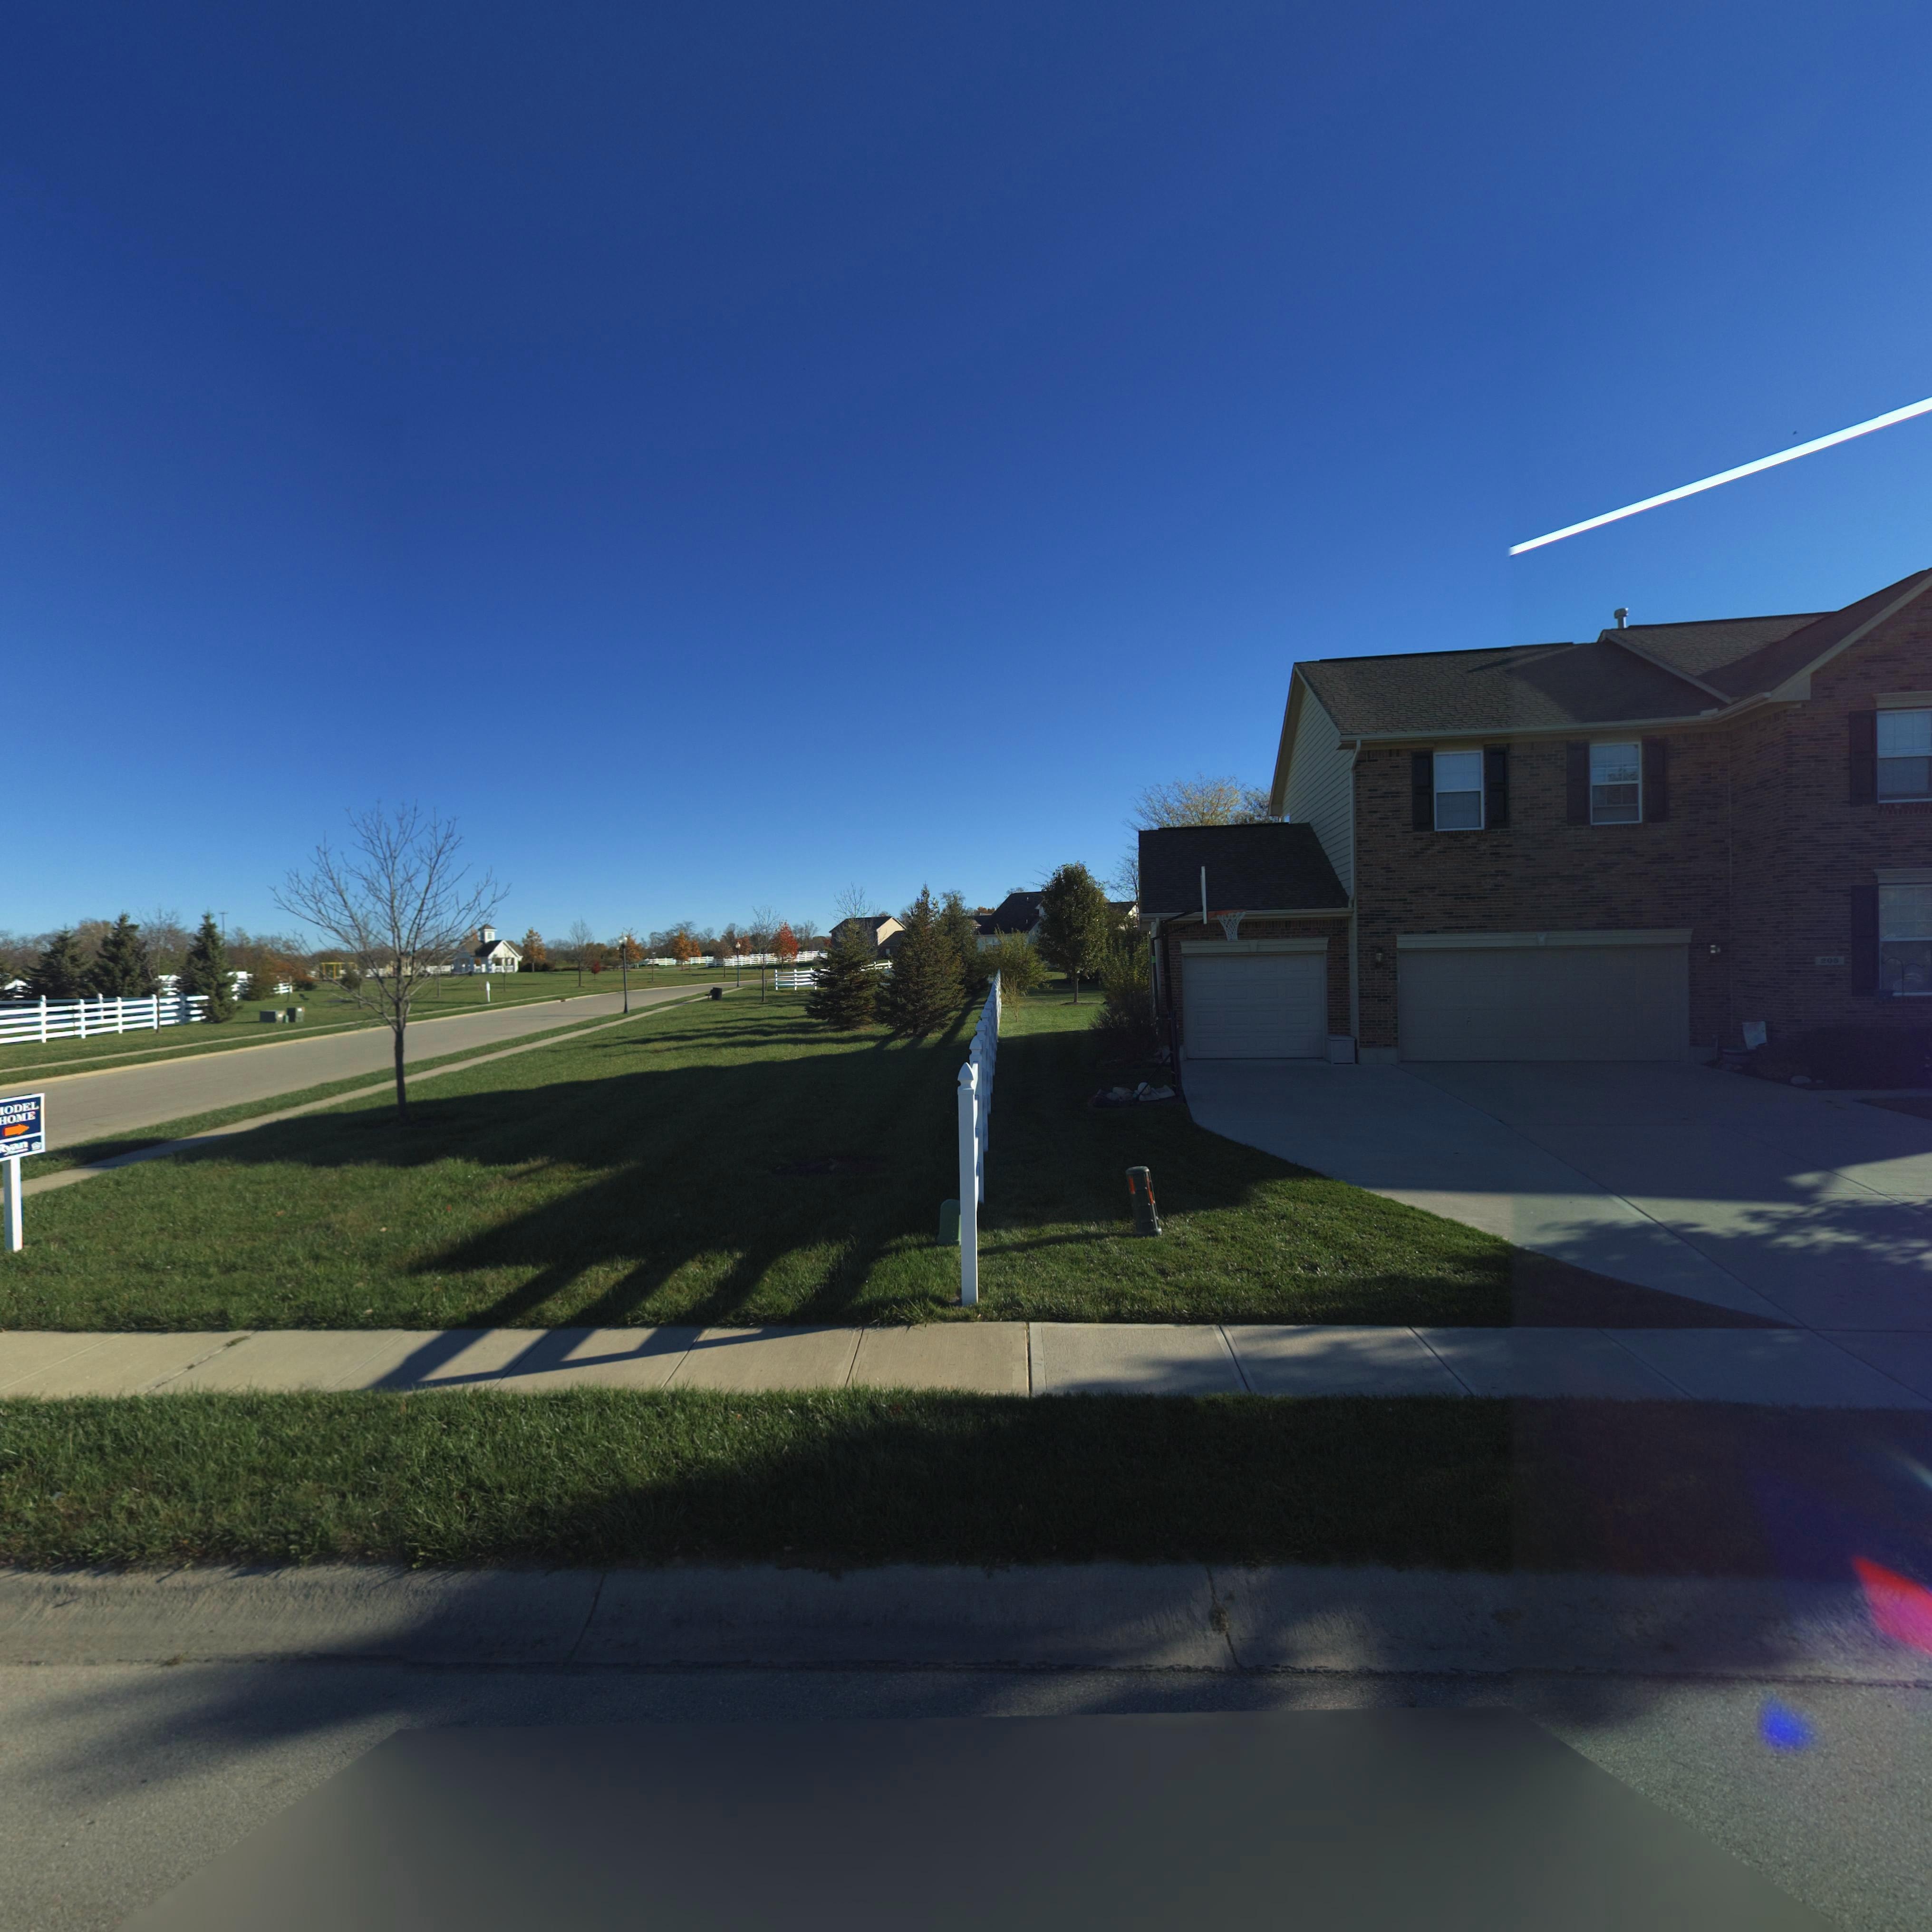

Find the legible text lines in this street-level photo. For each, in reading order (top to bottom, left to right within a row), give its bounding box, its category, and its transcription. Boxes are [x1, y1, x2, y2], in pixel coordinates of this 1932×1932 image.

[1820, 956, 1839, 965] StreetNumber: *0*
[2, 1100, 40, 1115] None: ODEL
[0, 1111, 35, 1127] None: HOME
[0, 1141, 29, 1155] None: Ryan